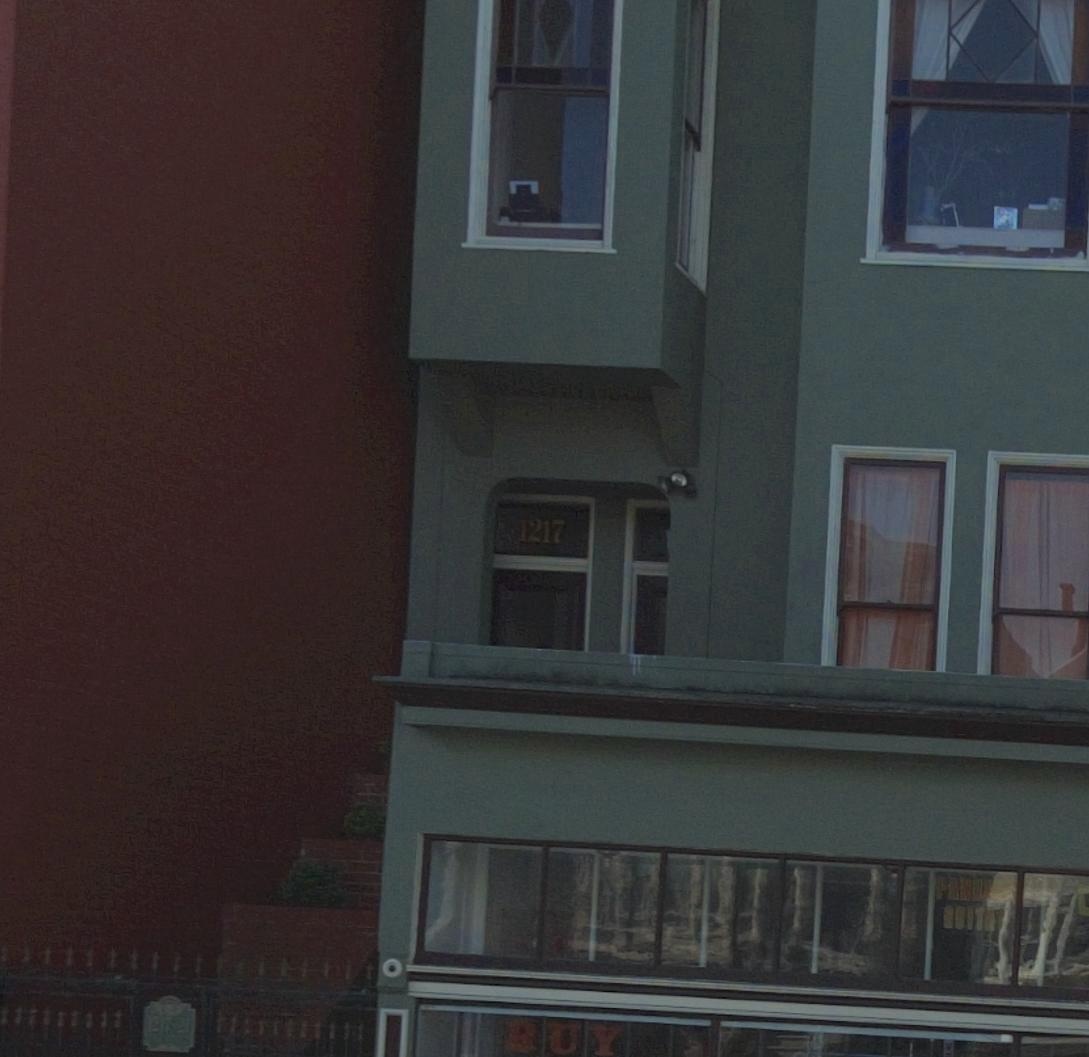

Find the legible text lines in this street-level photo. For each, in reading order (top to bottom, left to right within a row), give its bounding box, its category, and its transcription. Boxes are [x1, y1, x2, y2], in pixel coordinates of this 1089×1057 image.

[518, 516, 566, 547] StreetNumber: 1217